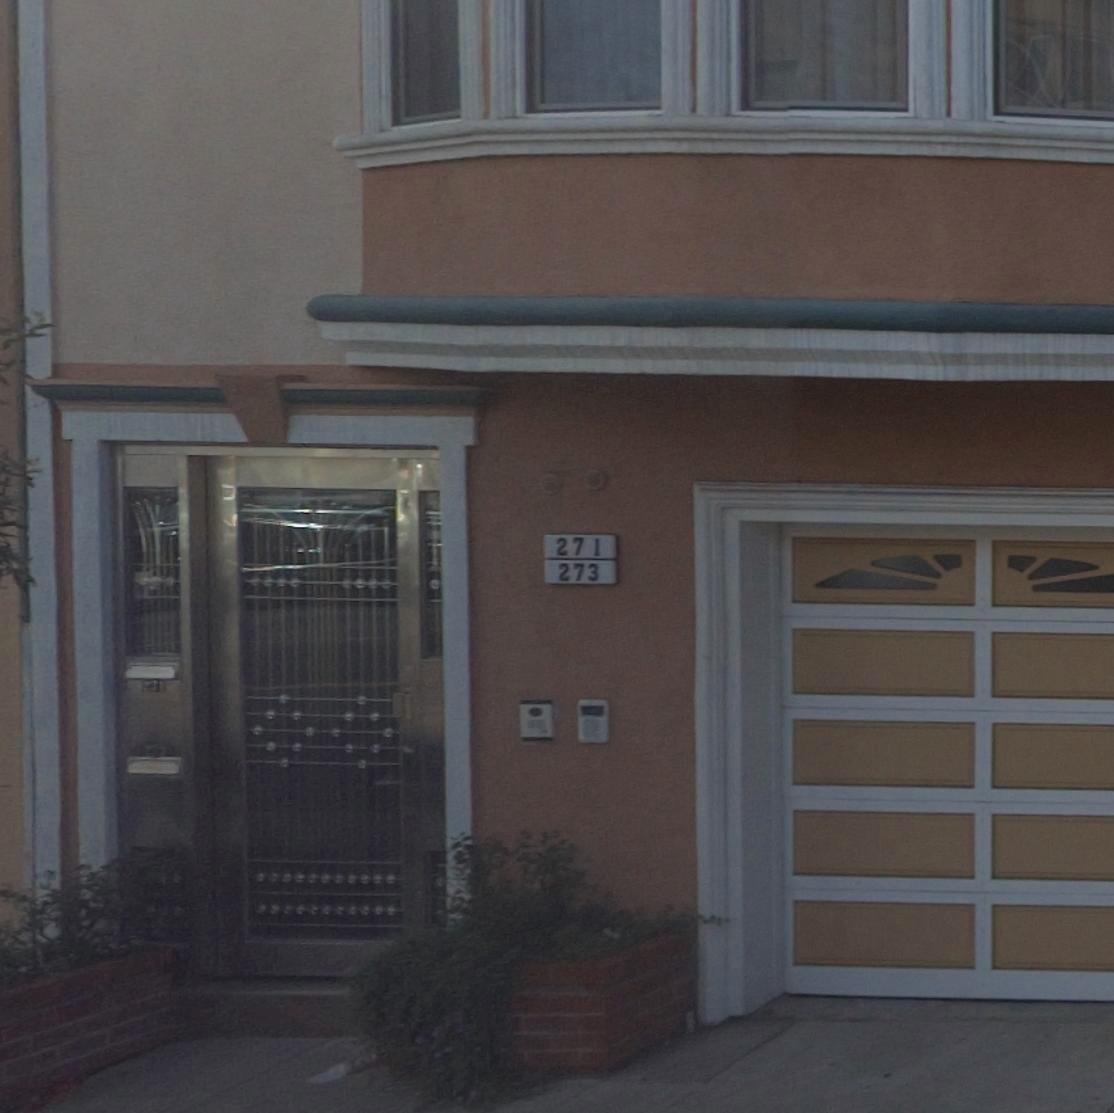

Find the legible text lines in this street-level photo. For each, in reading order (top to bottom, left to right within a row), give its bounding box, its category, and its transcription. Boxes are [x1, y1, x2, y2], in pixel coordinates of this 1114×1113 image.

[553, 537, 601, 558] StreetNumber: 271
[555, 562, 601, 583] StreetNumber: 273